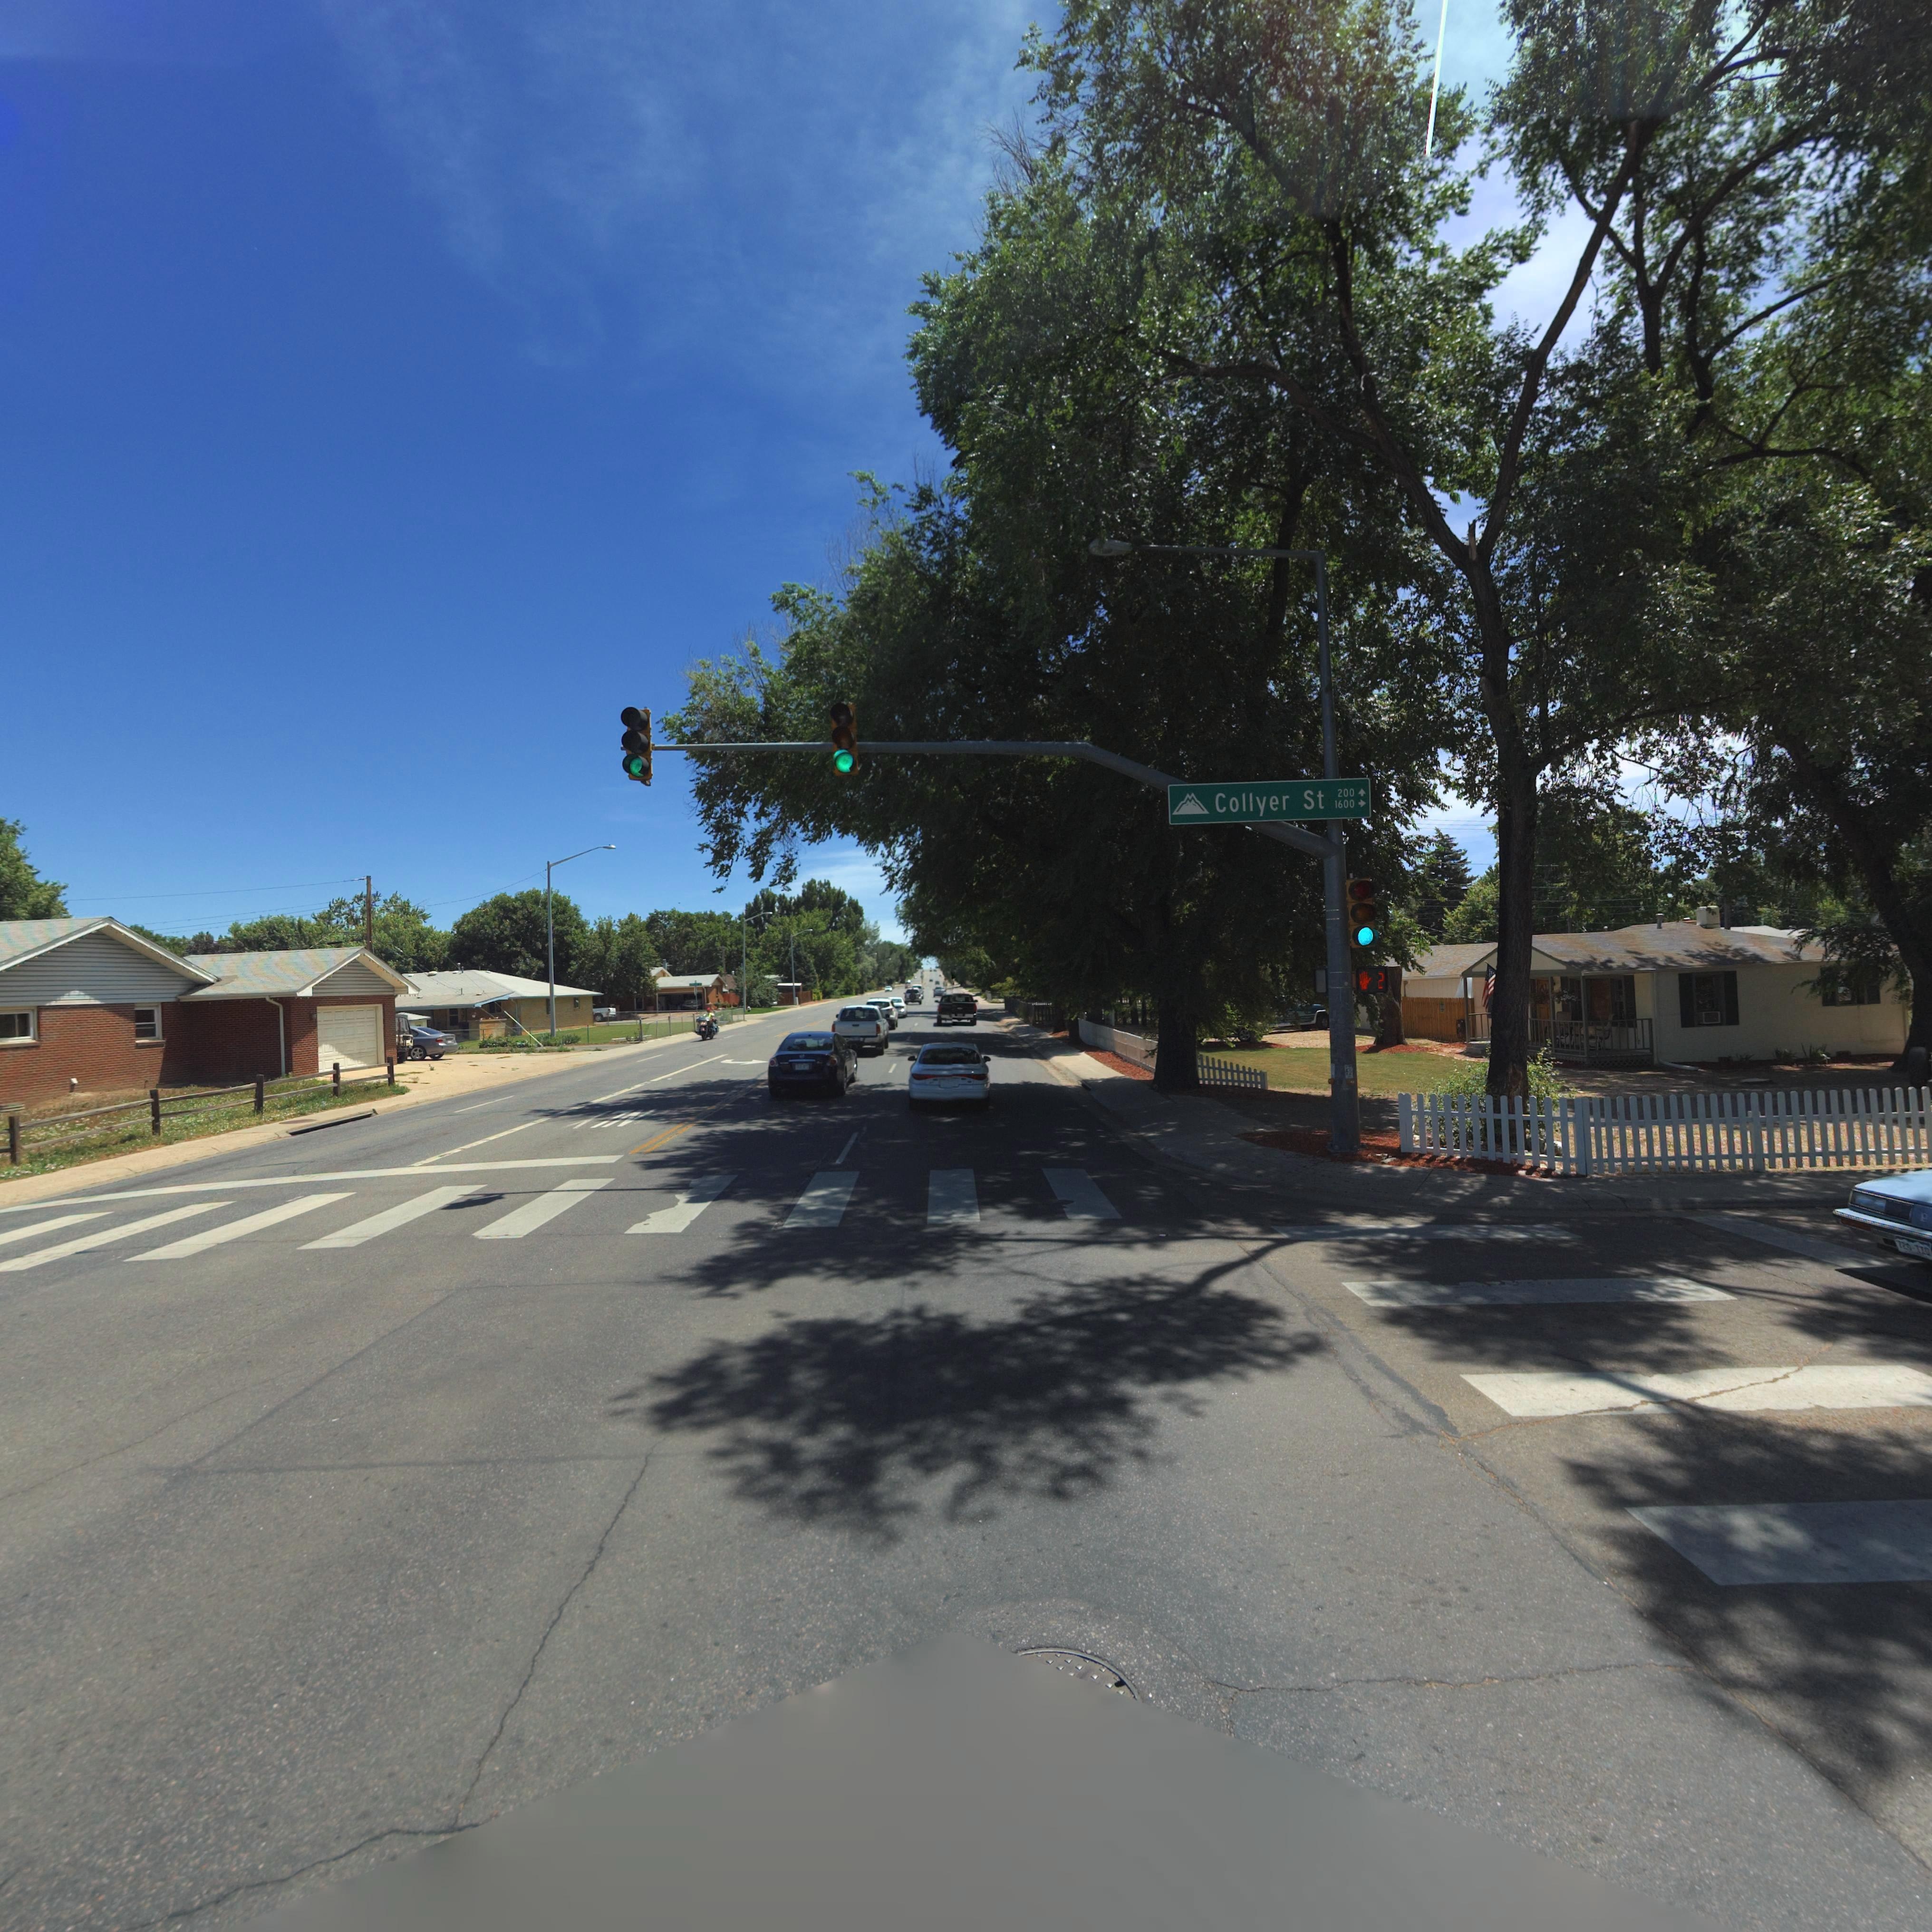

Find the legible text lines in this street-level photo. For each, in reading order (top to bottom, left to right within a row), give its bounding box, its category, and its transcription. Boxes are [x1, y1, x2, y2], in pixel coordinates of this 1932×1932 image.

[1337, 788, 1355, 797] StreetNumberRange: 200
[1214, 789, 1325, 817] StreetName: Collyer St
[1333, 799, 1367, 809] StreetNumberRange: 1600->